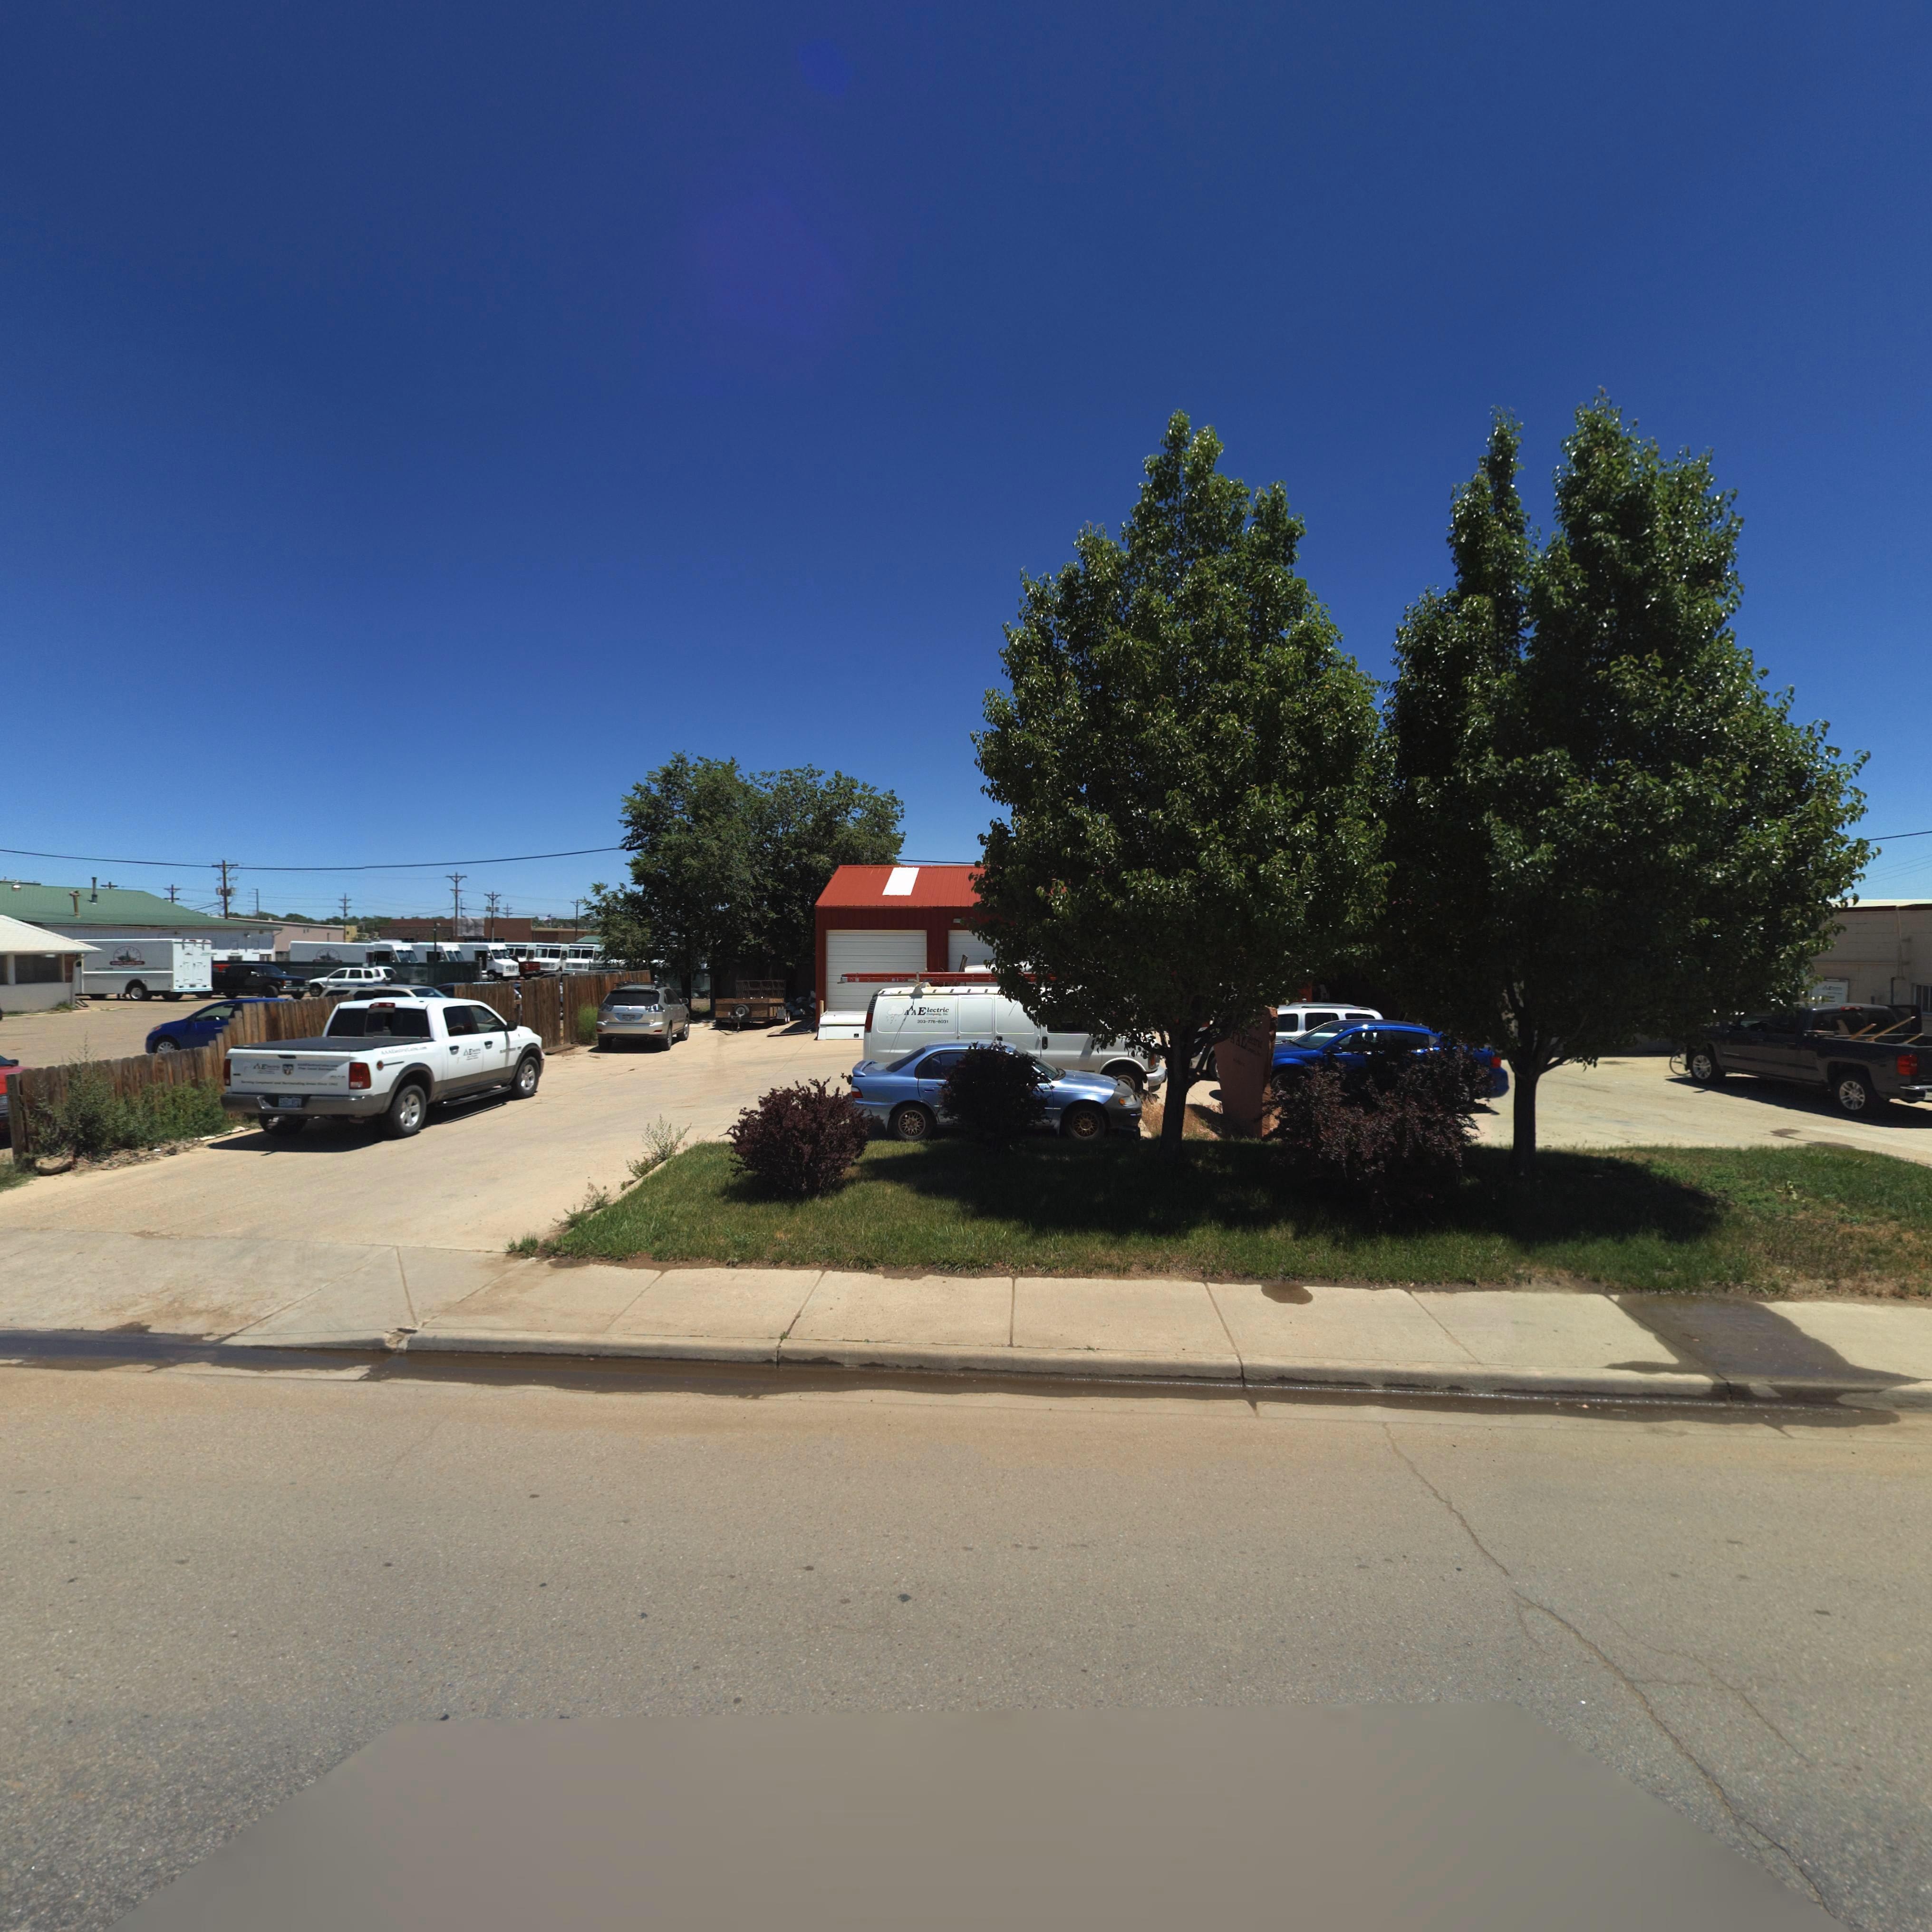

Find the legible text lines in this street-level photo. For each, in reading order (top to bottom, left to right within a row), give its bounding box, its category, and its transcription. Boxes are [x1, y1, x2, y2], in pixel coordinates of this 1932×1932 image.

[1229, 1030, 1240, 1047] BusinessName: AA
[1246, 1032, 1264, 1049] BusinessName: *lectric